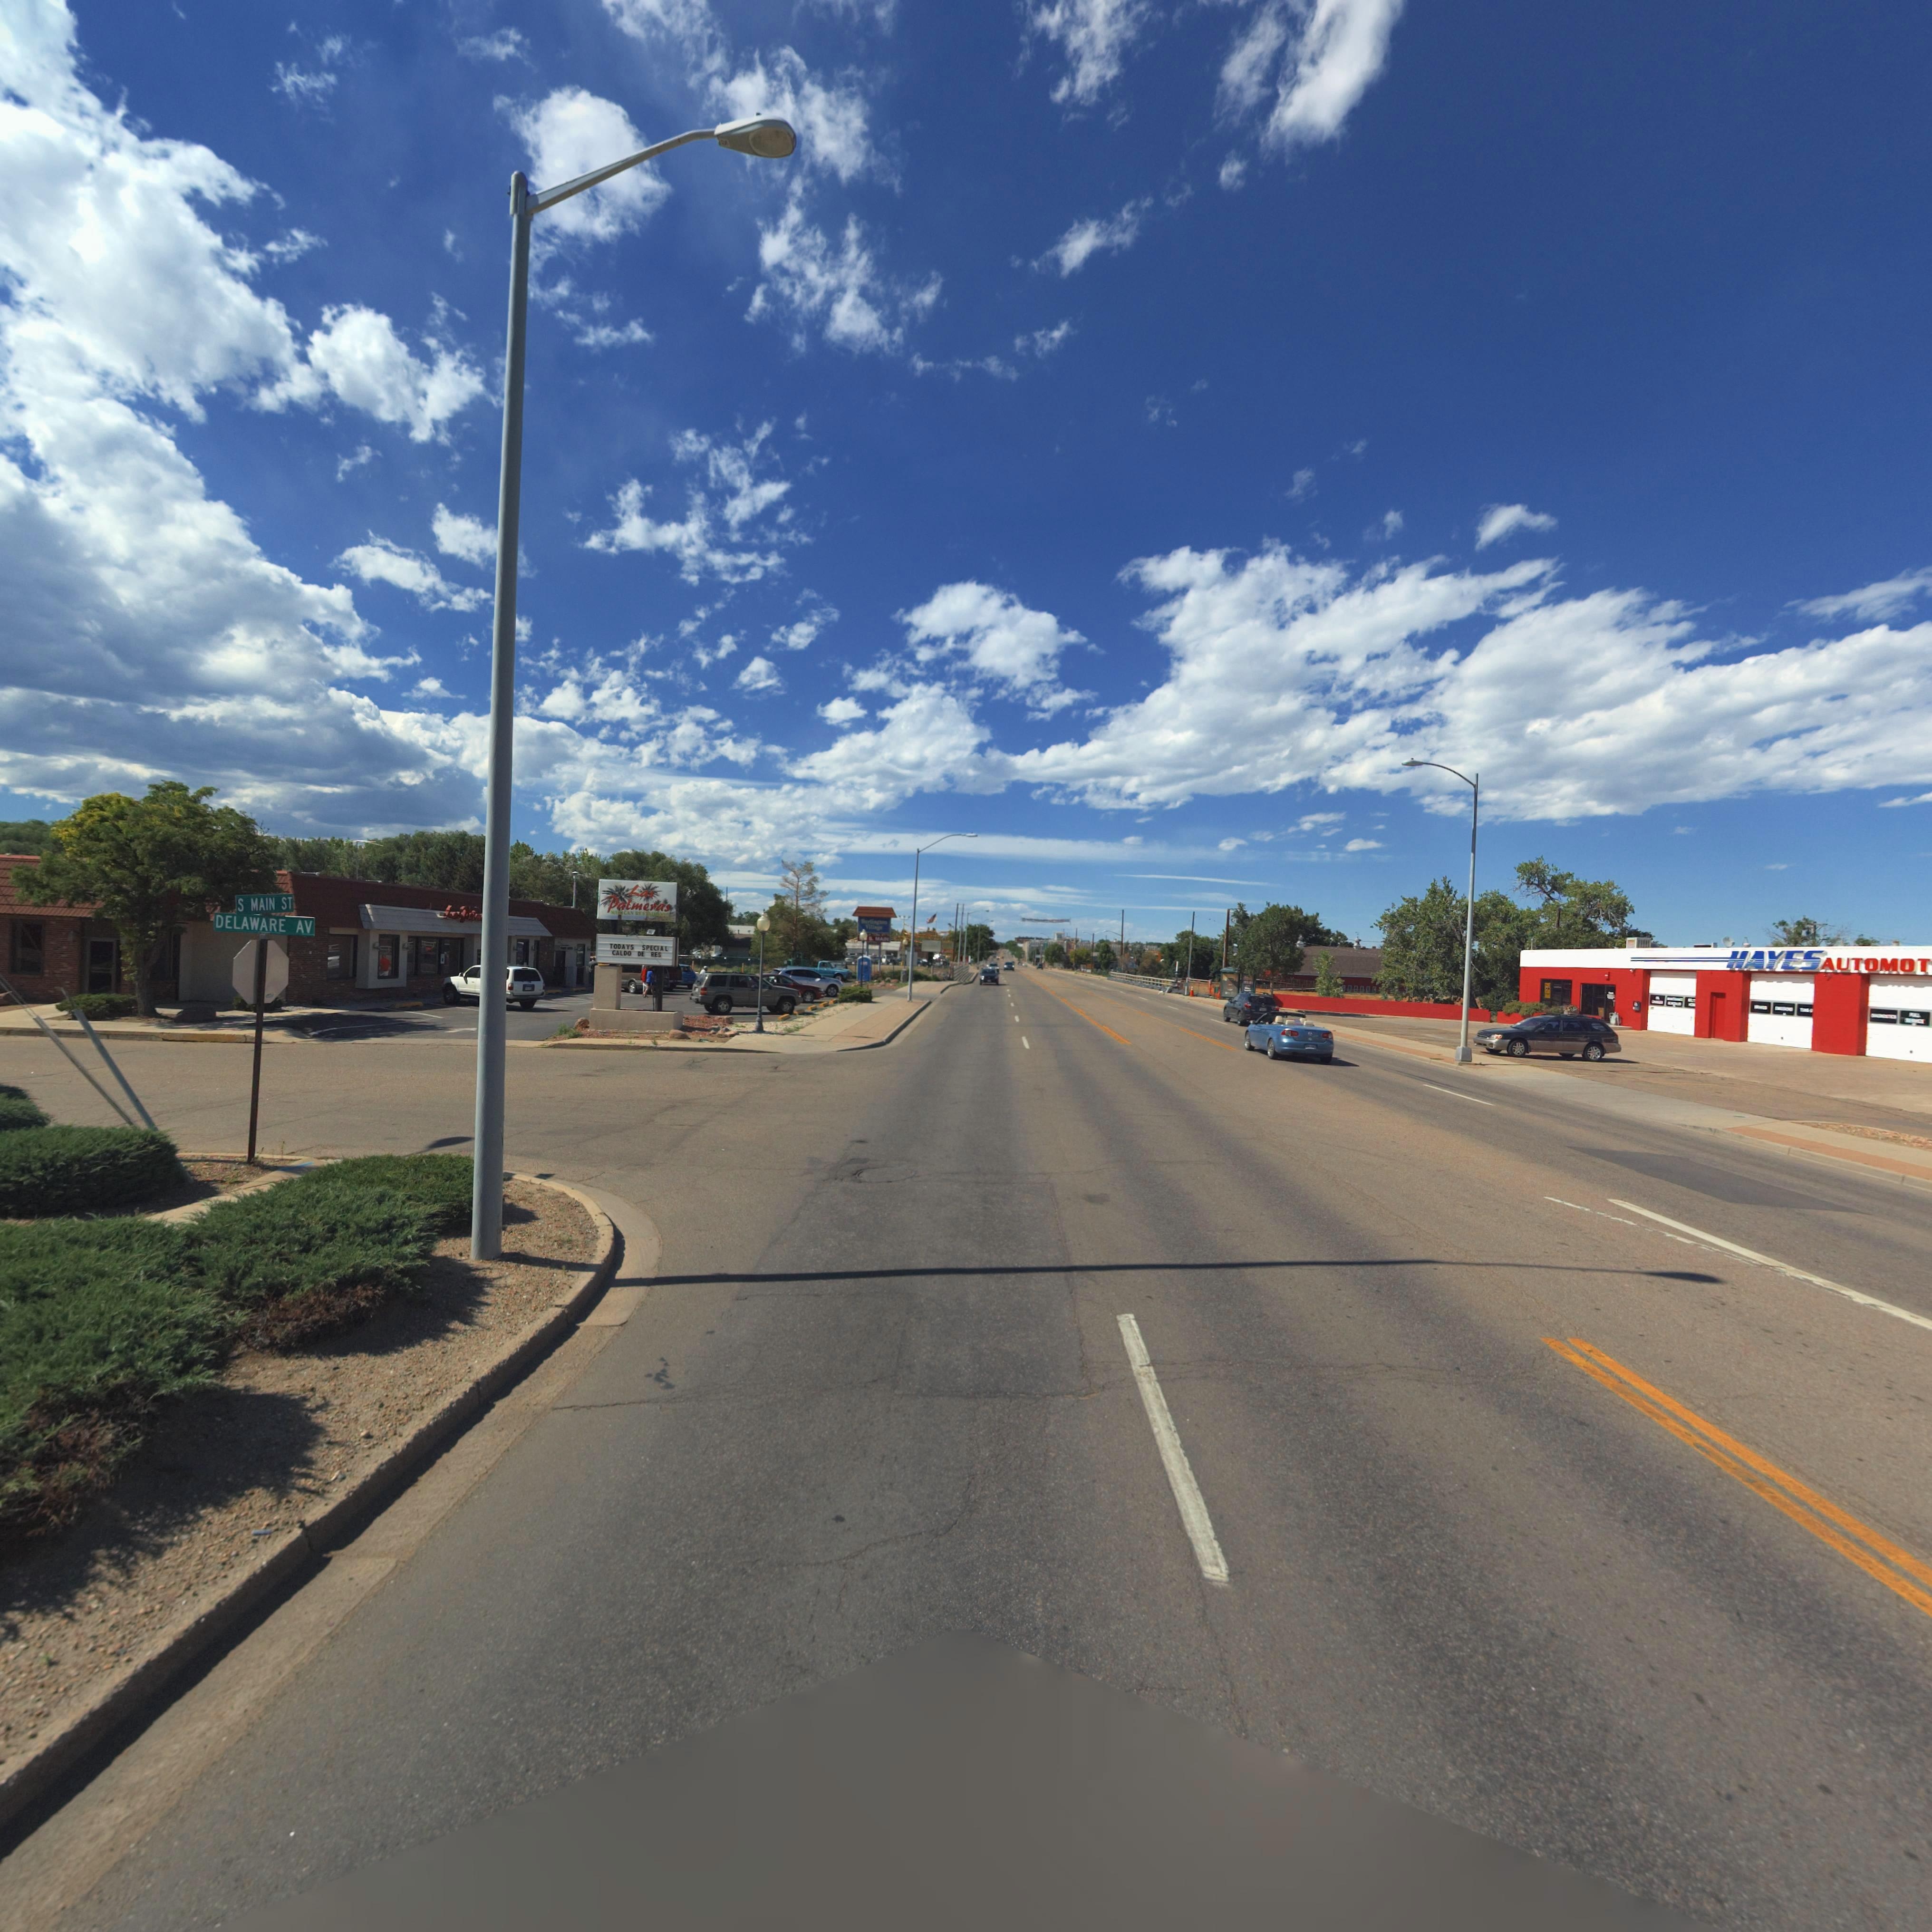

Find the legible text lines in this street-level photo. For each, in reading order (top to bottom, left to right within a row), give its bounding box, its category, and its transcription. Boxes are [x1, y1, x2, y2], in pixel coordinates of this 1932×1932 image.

[627, 883, 654, 898] BusinessName: Las
[237, 896, 293, 912] StreetName: S MAIN ST
[605, 894, 670, 913] BusinessName: Palmeras
[442, 904, 482, 923] BusinessName: Las Palm
[215, 914, 313, 934] StreetName: DELAWARE AV
[868, 936, 889, 941] StreetName: S. MAIN
[1725, 949, 1825, 970] BusinessName: HAYES
[1818, 956, 1932, 973] BusinessName: AUTOMOT